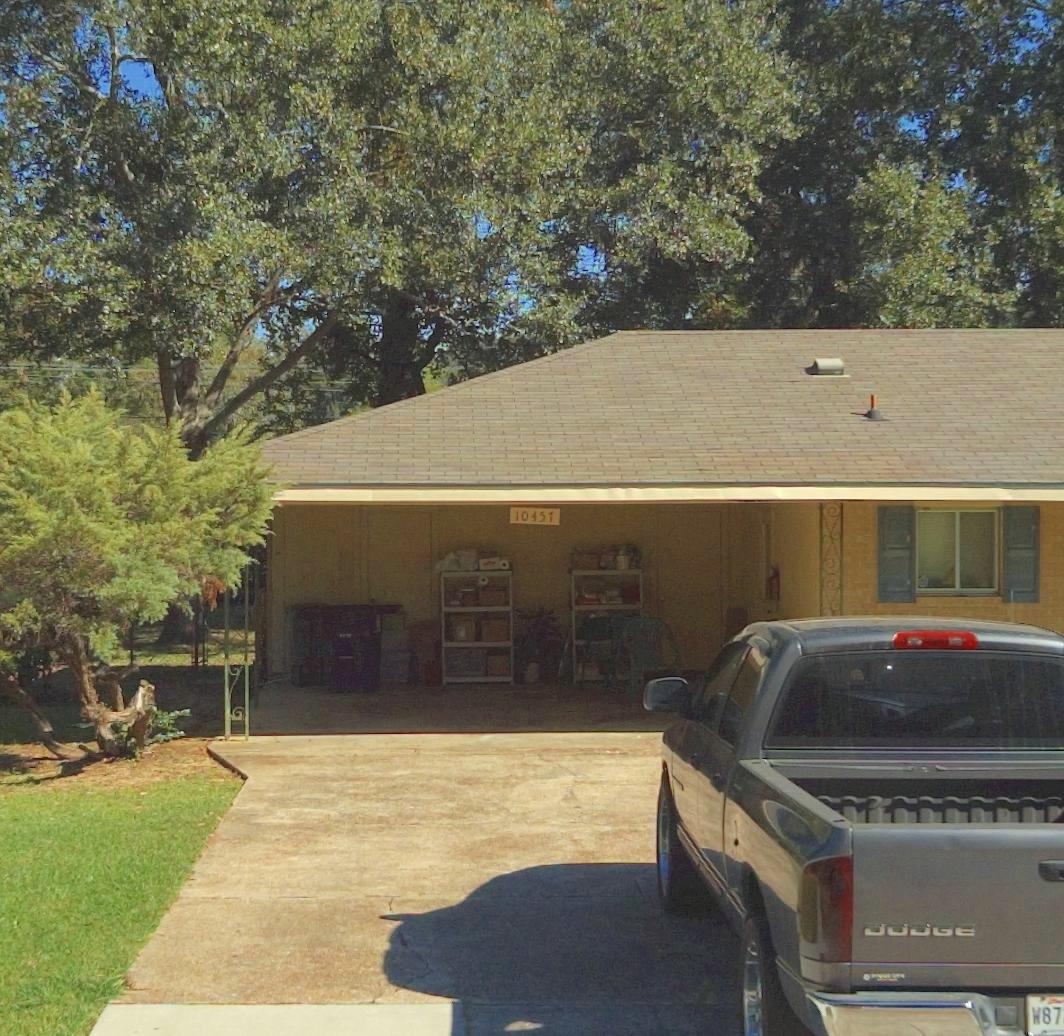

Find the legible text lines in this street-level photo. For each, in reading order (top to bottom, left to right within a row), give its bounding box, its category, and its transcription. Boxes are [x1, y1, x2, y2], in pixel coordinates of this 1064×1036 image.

[513, 508, 556, 524] StreetNumber: 10451
[861, 920, 978, 939] None: DODGE
[1030, 1004, 1063, 1027] None: W87